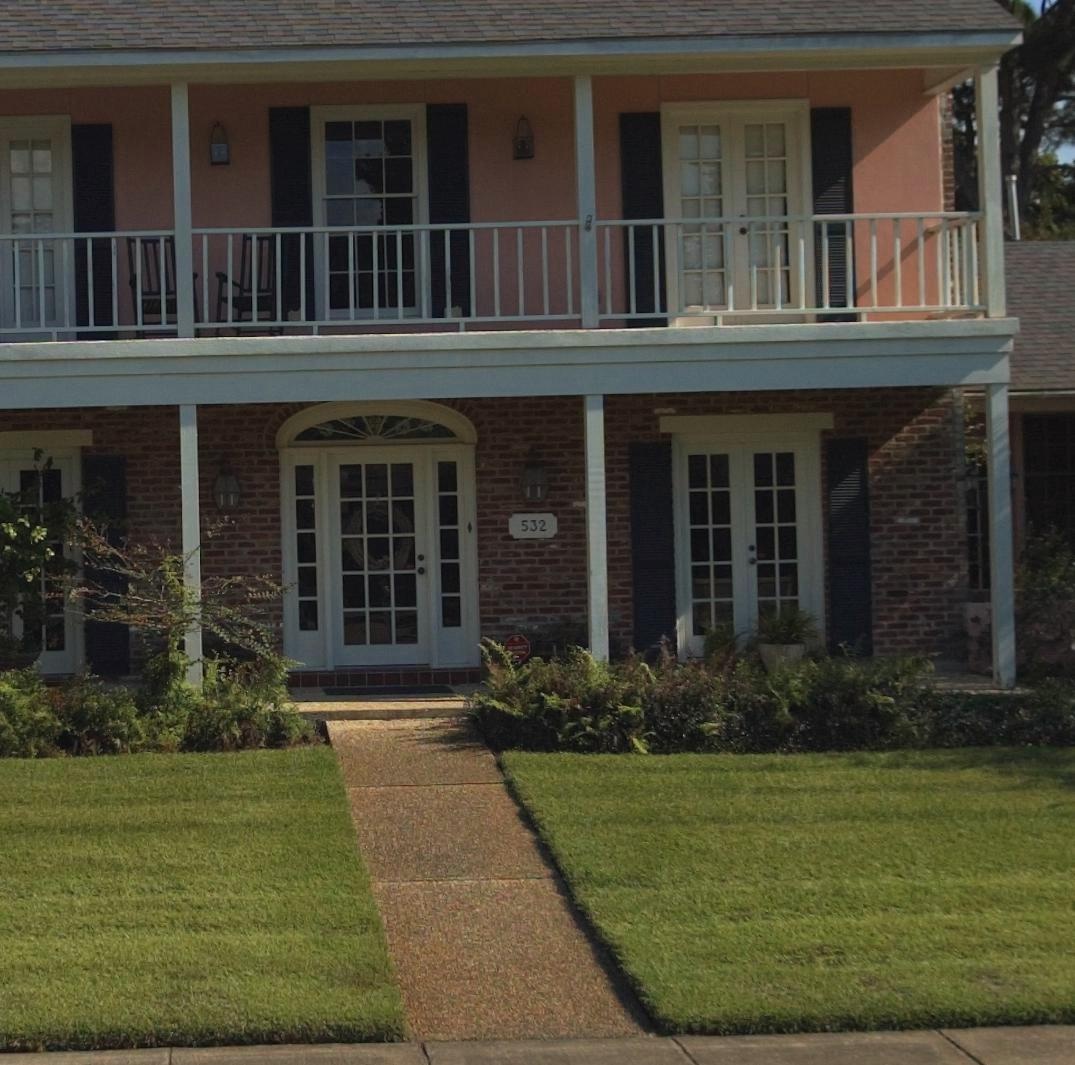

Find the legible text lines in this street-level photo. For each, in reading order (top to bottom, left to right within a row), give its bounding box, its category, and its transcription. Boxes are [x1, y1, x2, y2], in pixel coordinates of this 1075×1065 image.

[520, 519, 548, 532] StreetNumber: 532